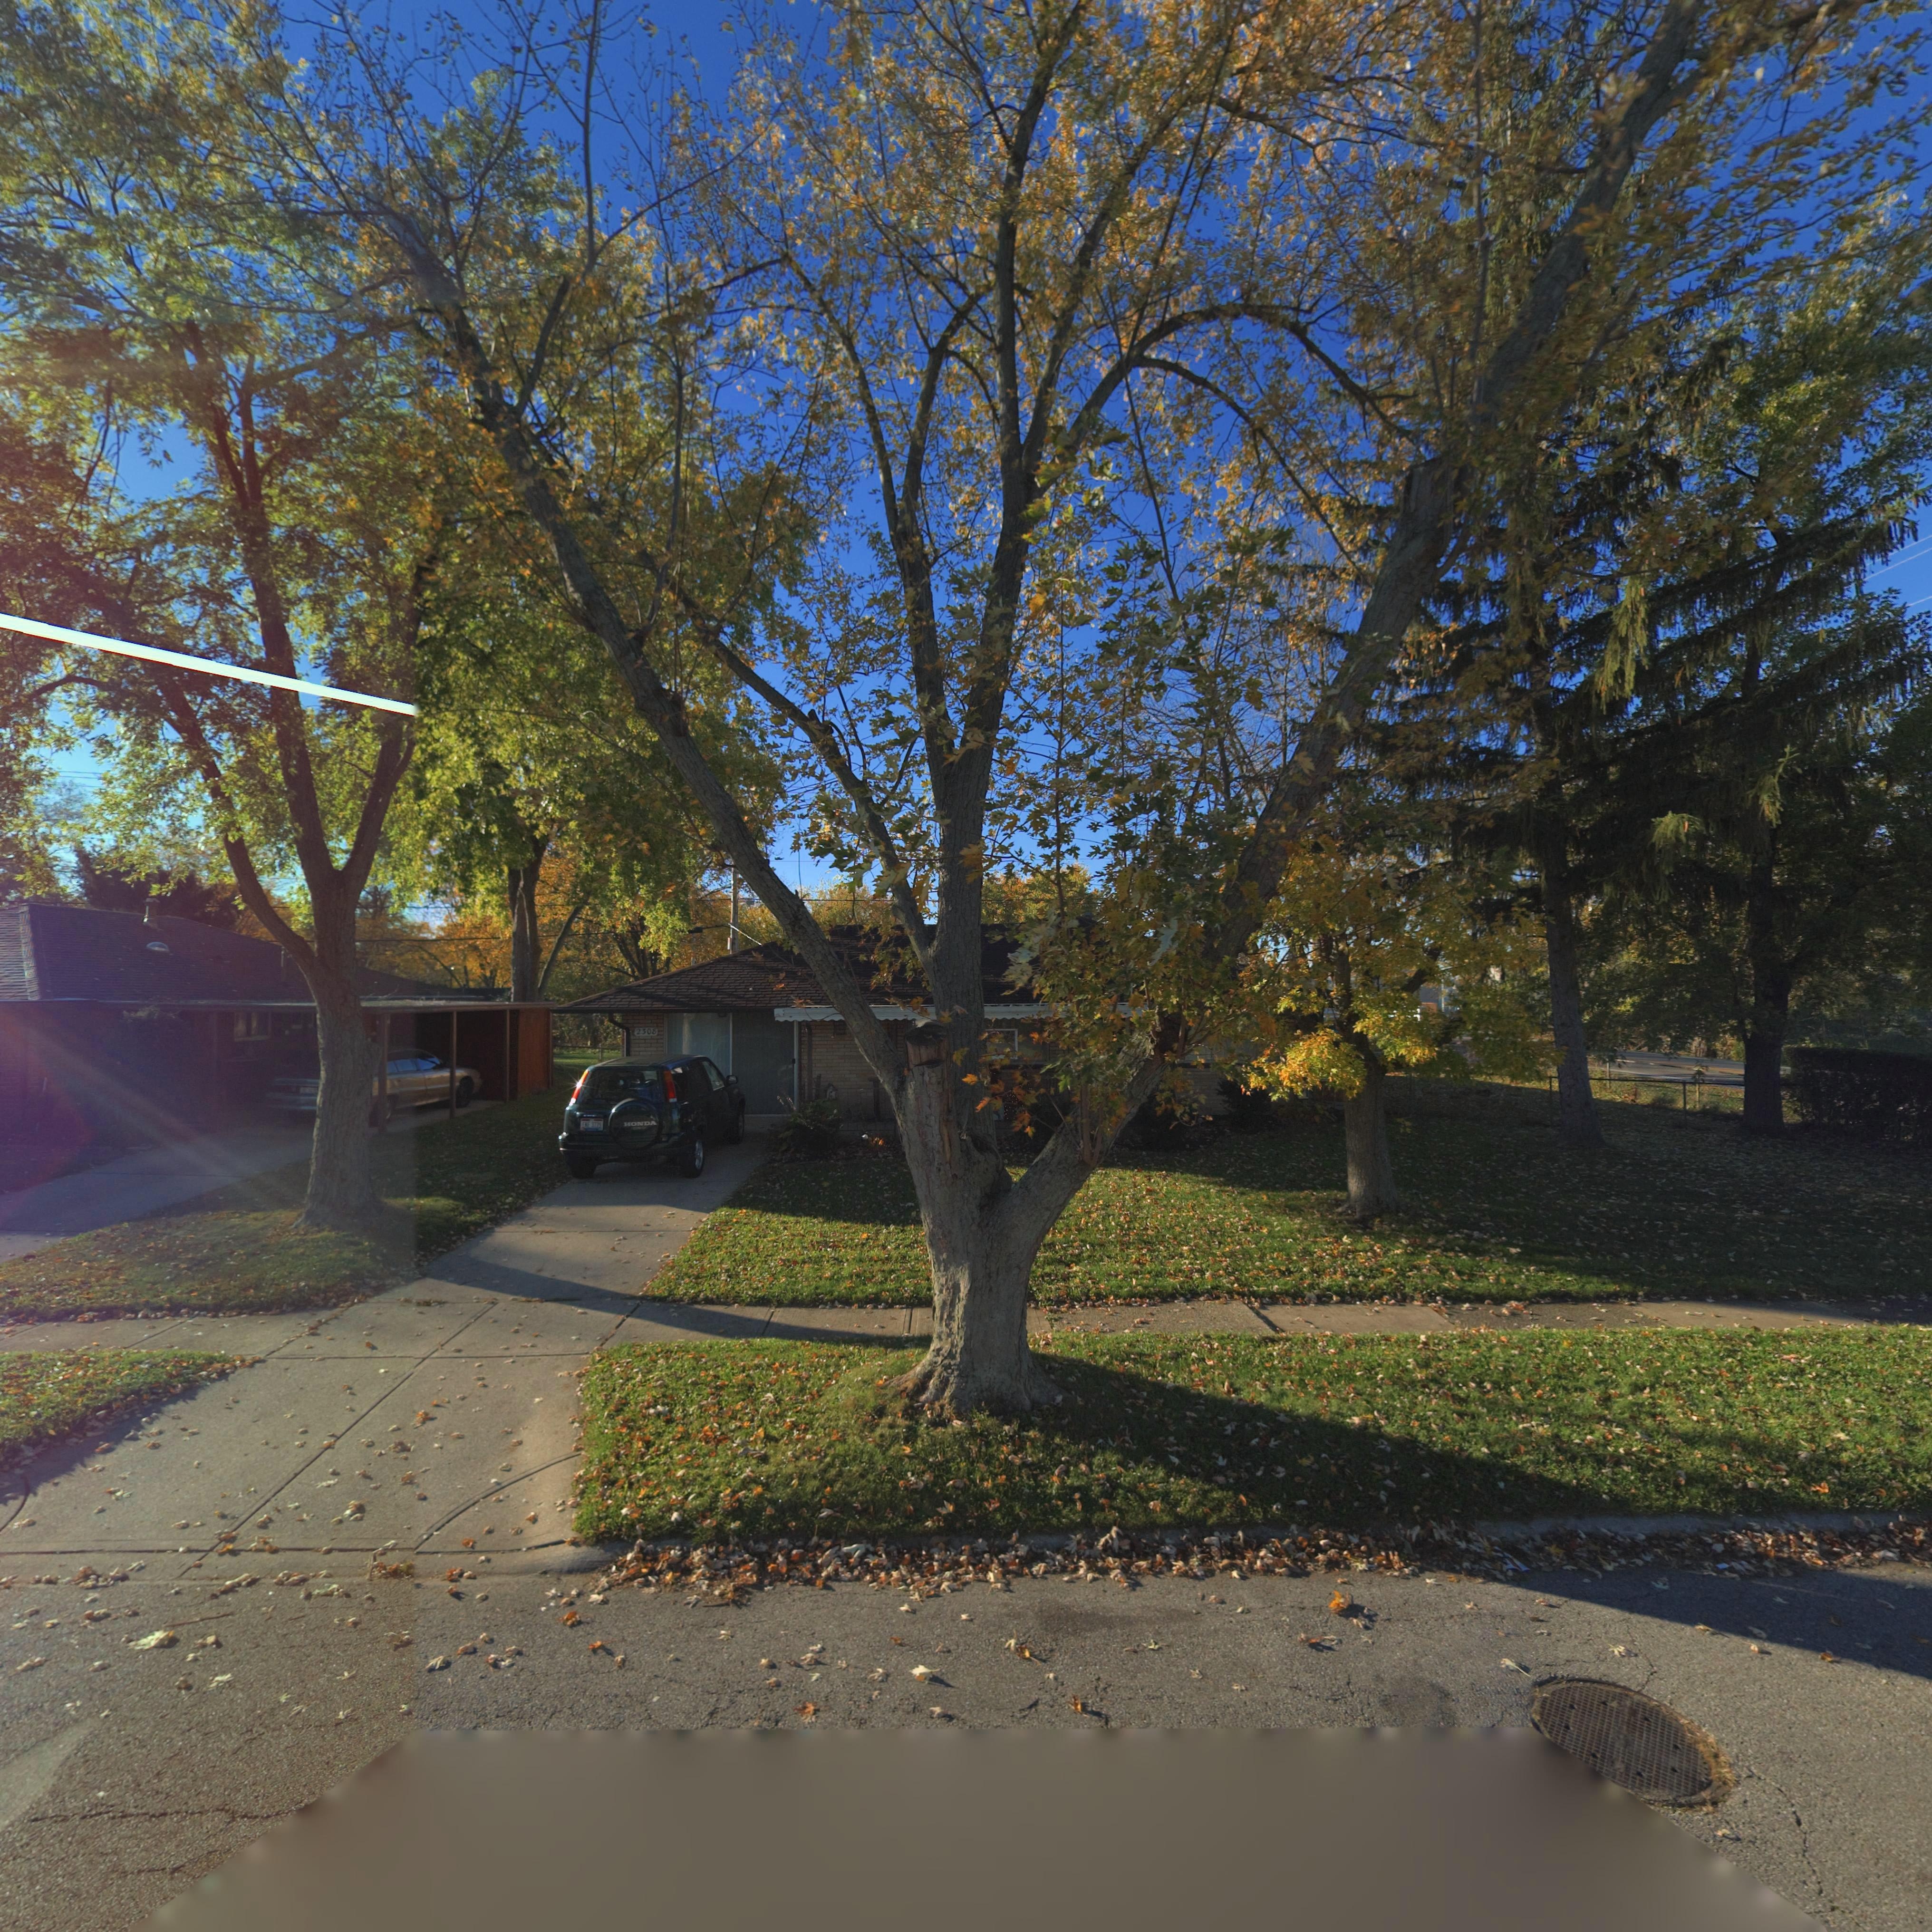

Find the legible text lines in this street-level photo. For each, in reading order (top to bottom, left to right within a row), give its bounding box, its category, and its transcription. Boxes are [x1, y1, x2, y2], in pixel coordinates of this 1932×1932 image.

[635, 1027, 657, 1035] StreetNumber: 2308